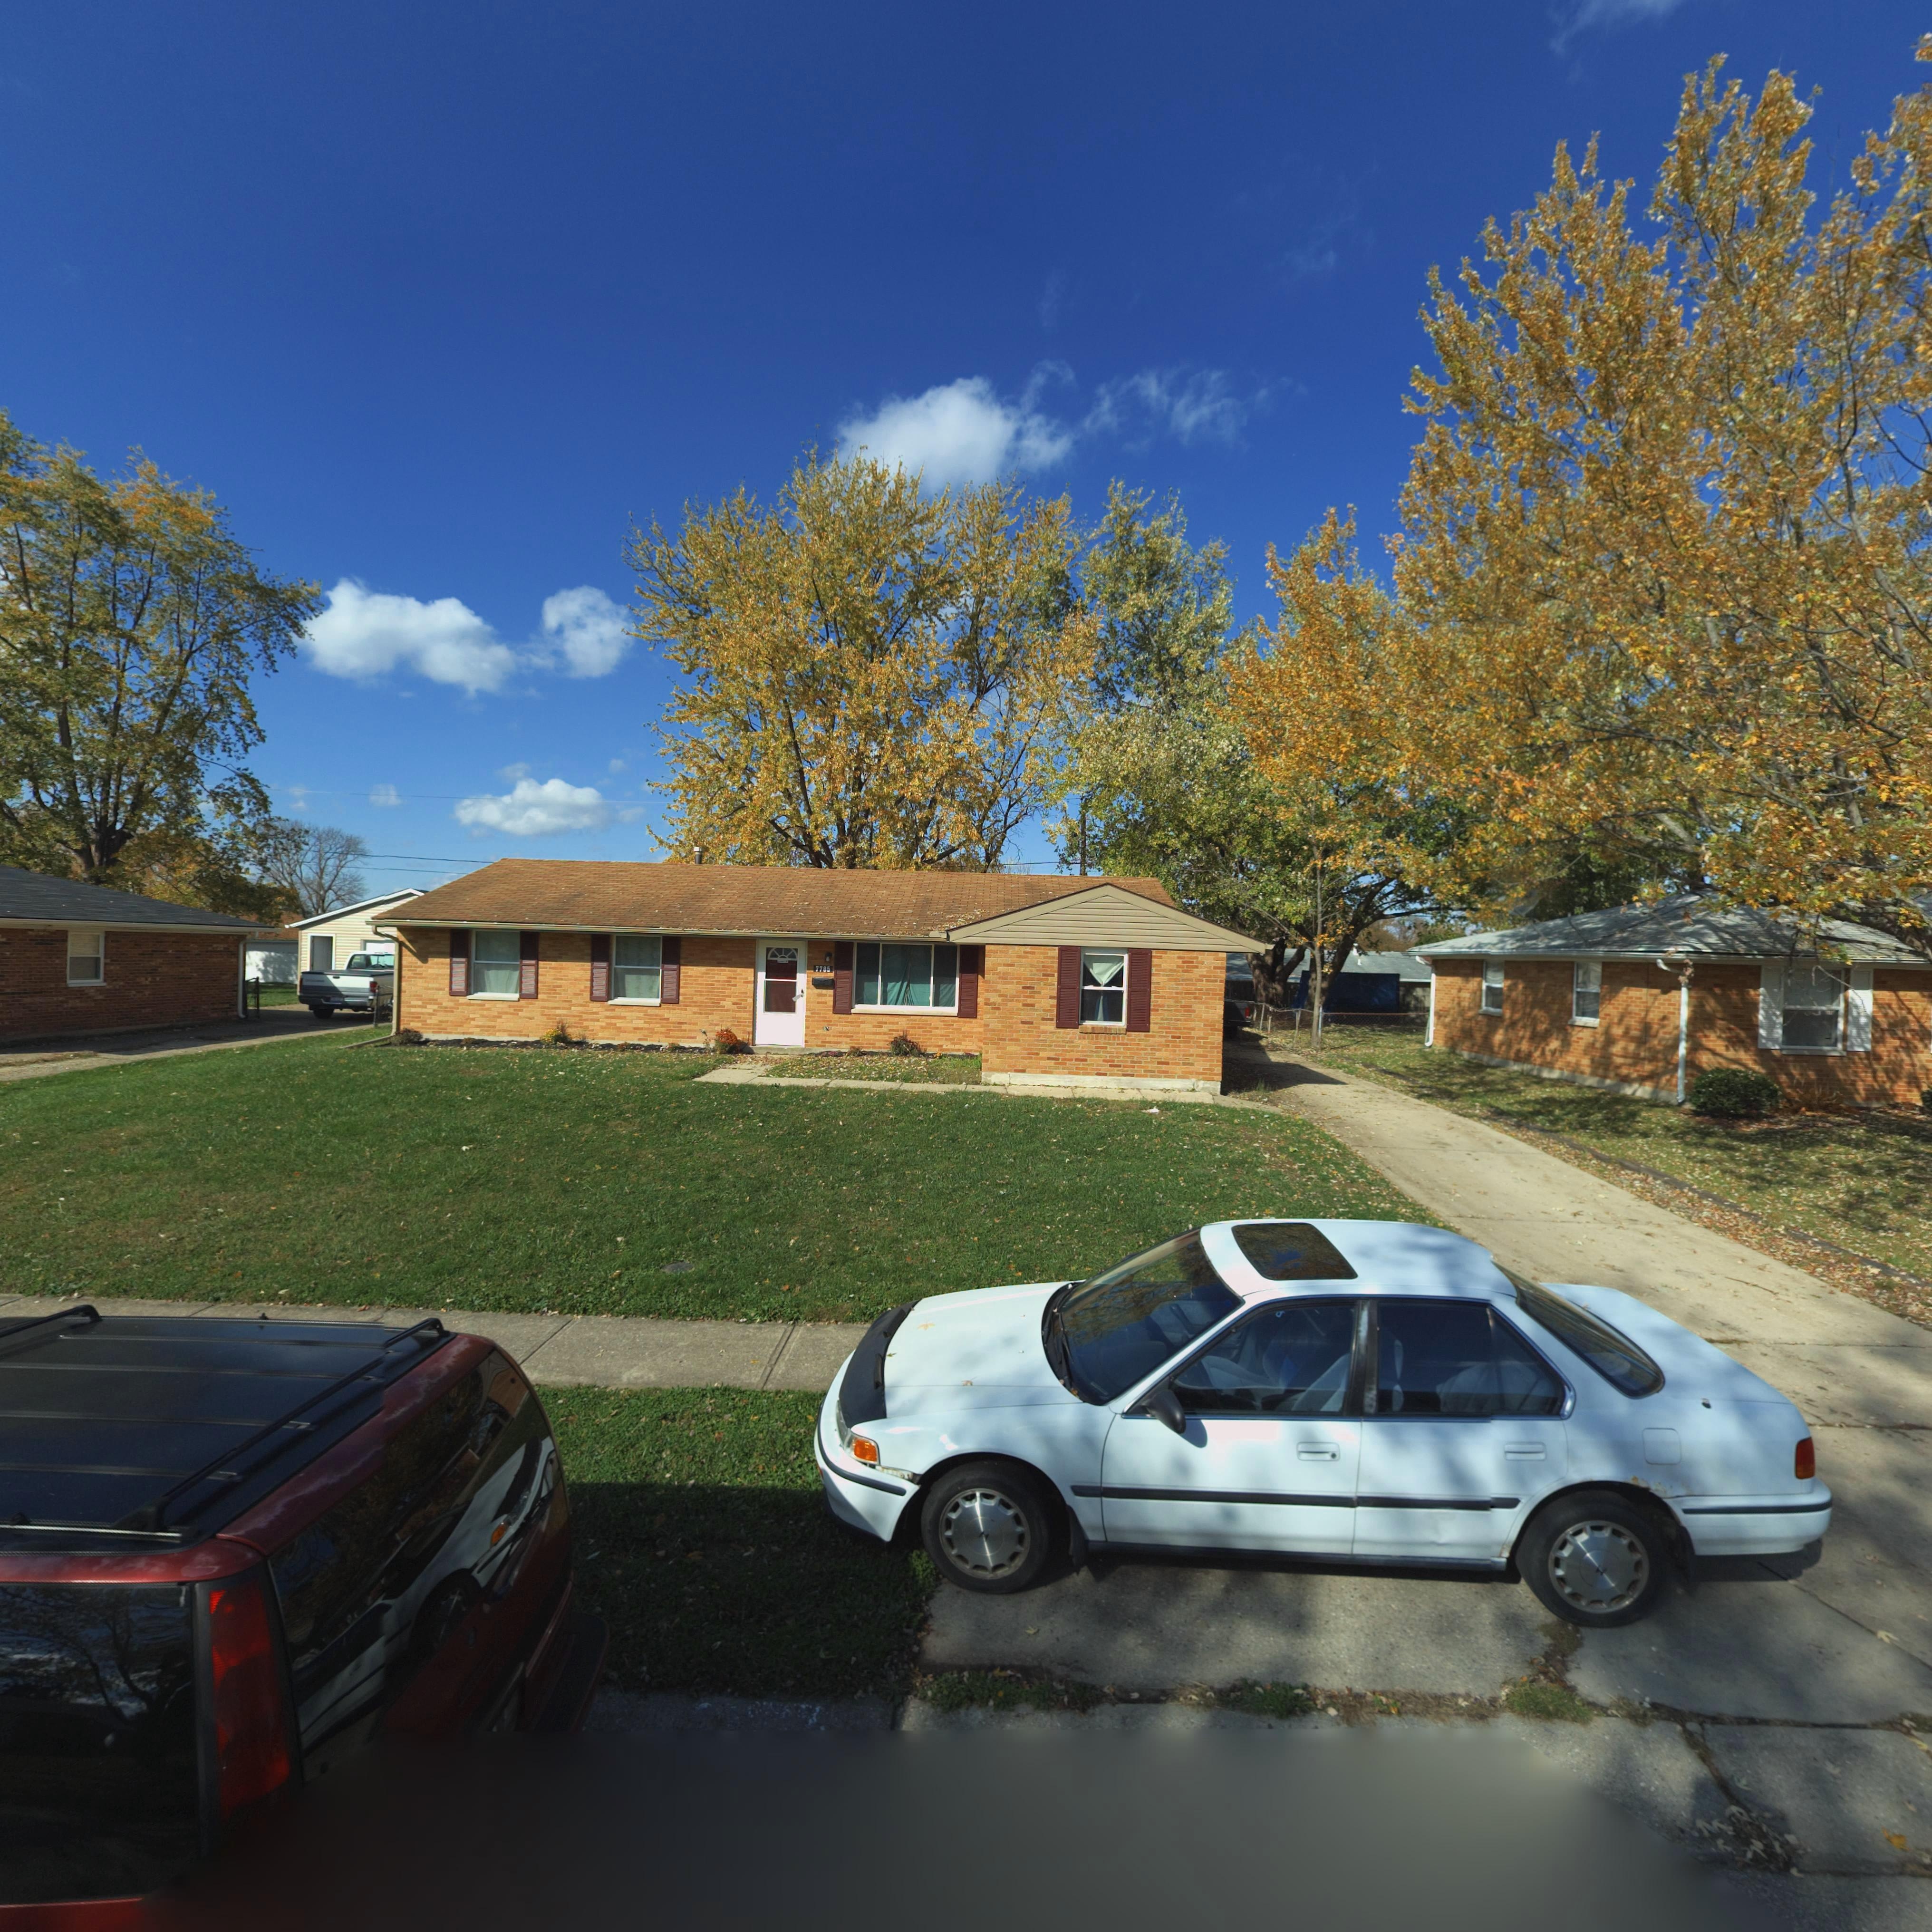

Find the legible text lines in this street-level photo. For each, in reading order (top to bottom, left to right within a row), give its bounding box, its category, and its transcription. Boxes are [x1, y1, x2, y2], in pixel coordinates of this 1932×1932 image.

[815, 965, 831, 973] StreetNumber: 7785